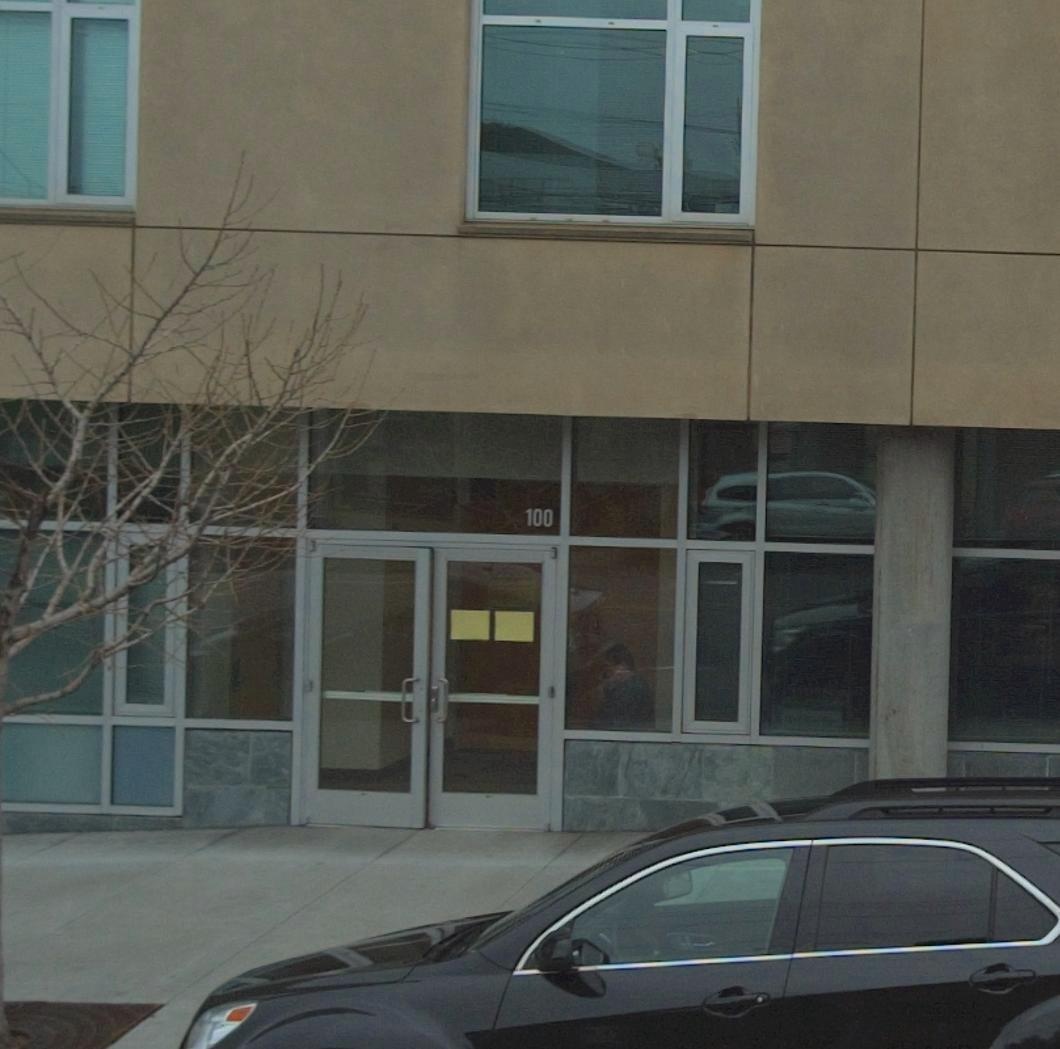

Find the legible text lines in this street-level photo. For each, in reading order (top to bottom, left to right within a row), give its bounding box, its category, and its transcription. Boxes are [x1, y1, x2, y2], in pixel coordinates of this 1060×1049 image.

[525, 507, 554, 528] StreetNumber: 100